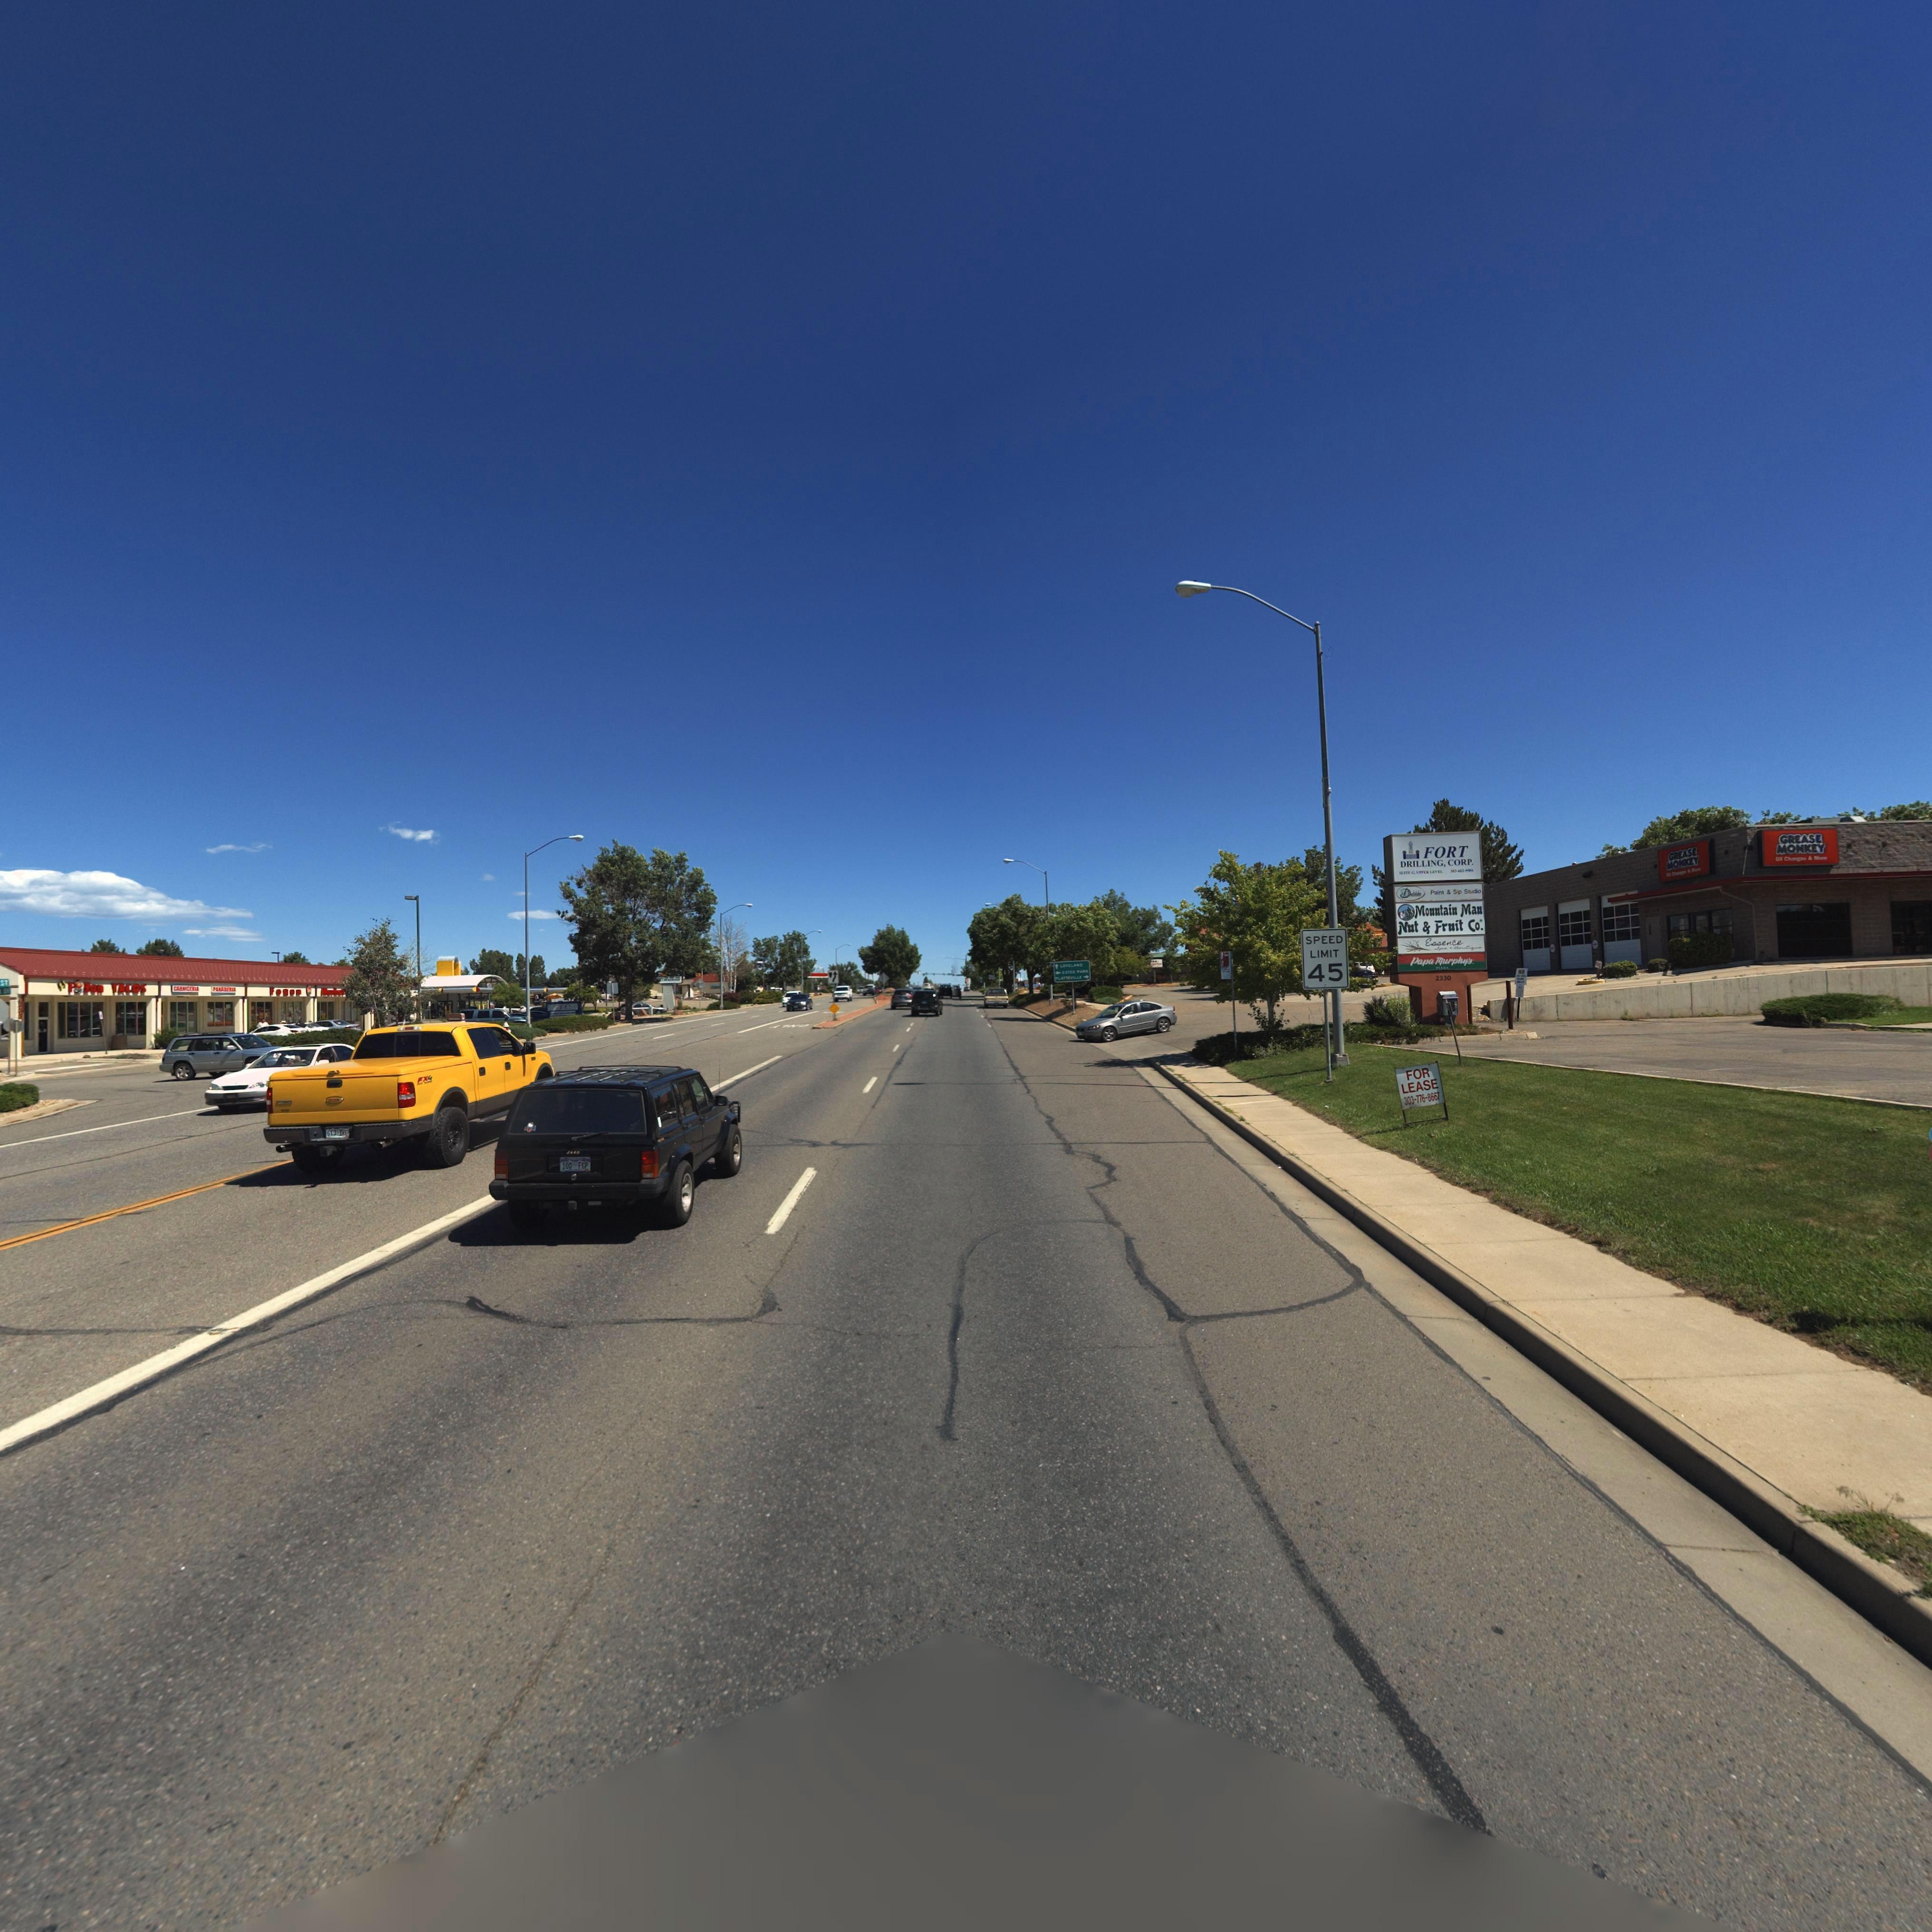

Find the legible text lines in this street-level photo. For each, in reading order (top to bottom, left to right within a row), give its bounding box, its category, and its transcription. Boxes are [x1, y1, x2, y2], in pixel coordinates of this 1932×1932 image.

[1778, 833, 1822, 844] BusinessName: GREASE
[1422, 845, 1469, 859] BusinessName: FORT
[1667, 846, 1697, 861] BusinessName: GREASE
[1776, 842, 1826, 854] BusinessName: MONKEY
[1400, 858, 1474, 868] BusinessName: DRILLING, CORP.
[1666, 855, 1699, 871] BusinessName: MONKEY
[1400, 887, 1421, 899] BusinessName: Dabble
[1430, 888, 1481, 895] BusinessName: Paint & S* S*ud*o
[1414, 903, 1483, 918] BusinessName: Mountain Man
[1398, 918, 1483, 935] BusinessName: Nut & Fruit Co.
[1425, 937, 1463, 946] BusinessName: Essence
[1409, 956, 1474, 966] BusinessName: Papa Murphy's
[1435, 975, 1451, 981] StreetNumber: 2330
[57, 980, 67, 989] BusinessName: E*
[68, 979, 147, 995] BusinessName: F*gon TACOS
[174, 985, 199, 991] BusinessName: CA***CE**A
[212, 986, 235, 992] BusinessName: F********
[270, 985, 345, 996] BusinessName: Fogon * Market